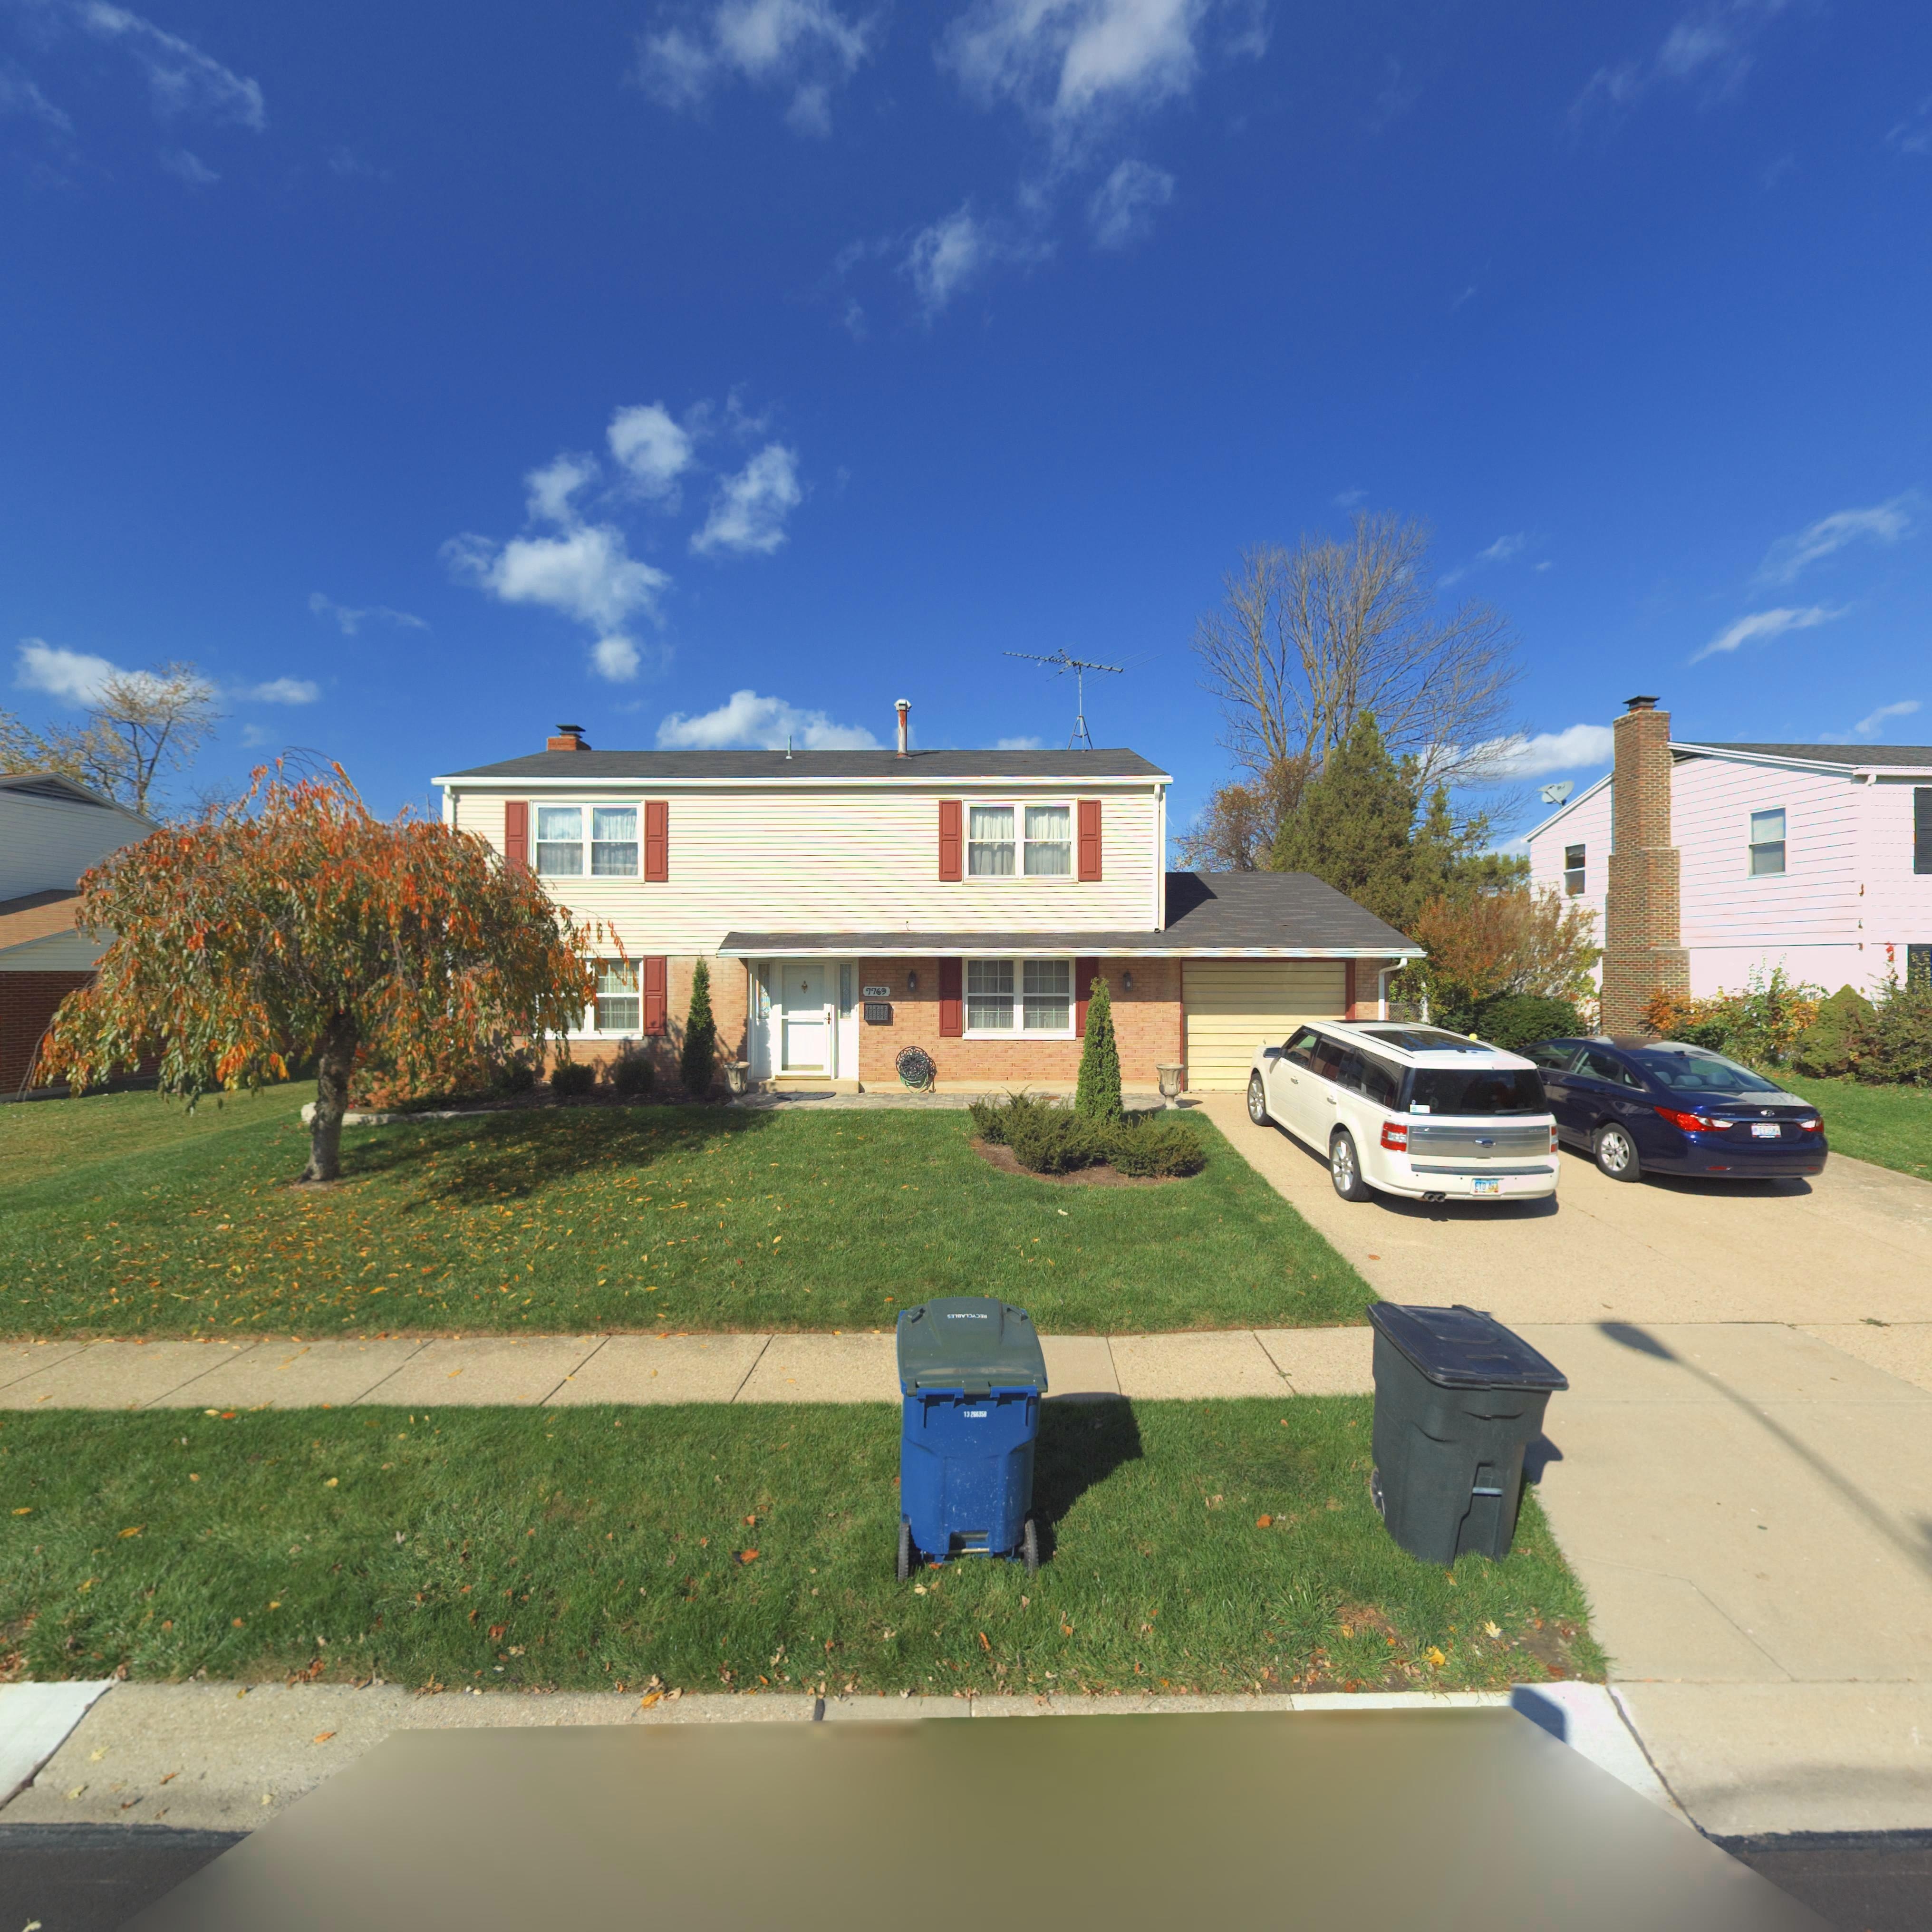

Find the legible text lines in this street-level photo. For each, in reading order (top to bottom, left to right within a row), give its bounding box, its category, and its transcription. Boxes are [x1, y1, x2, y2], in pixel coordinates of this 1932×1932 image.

[866, 987, 887, 995] StreetNumber: 7769